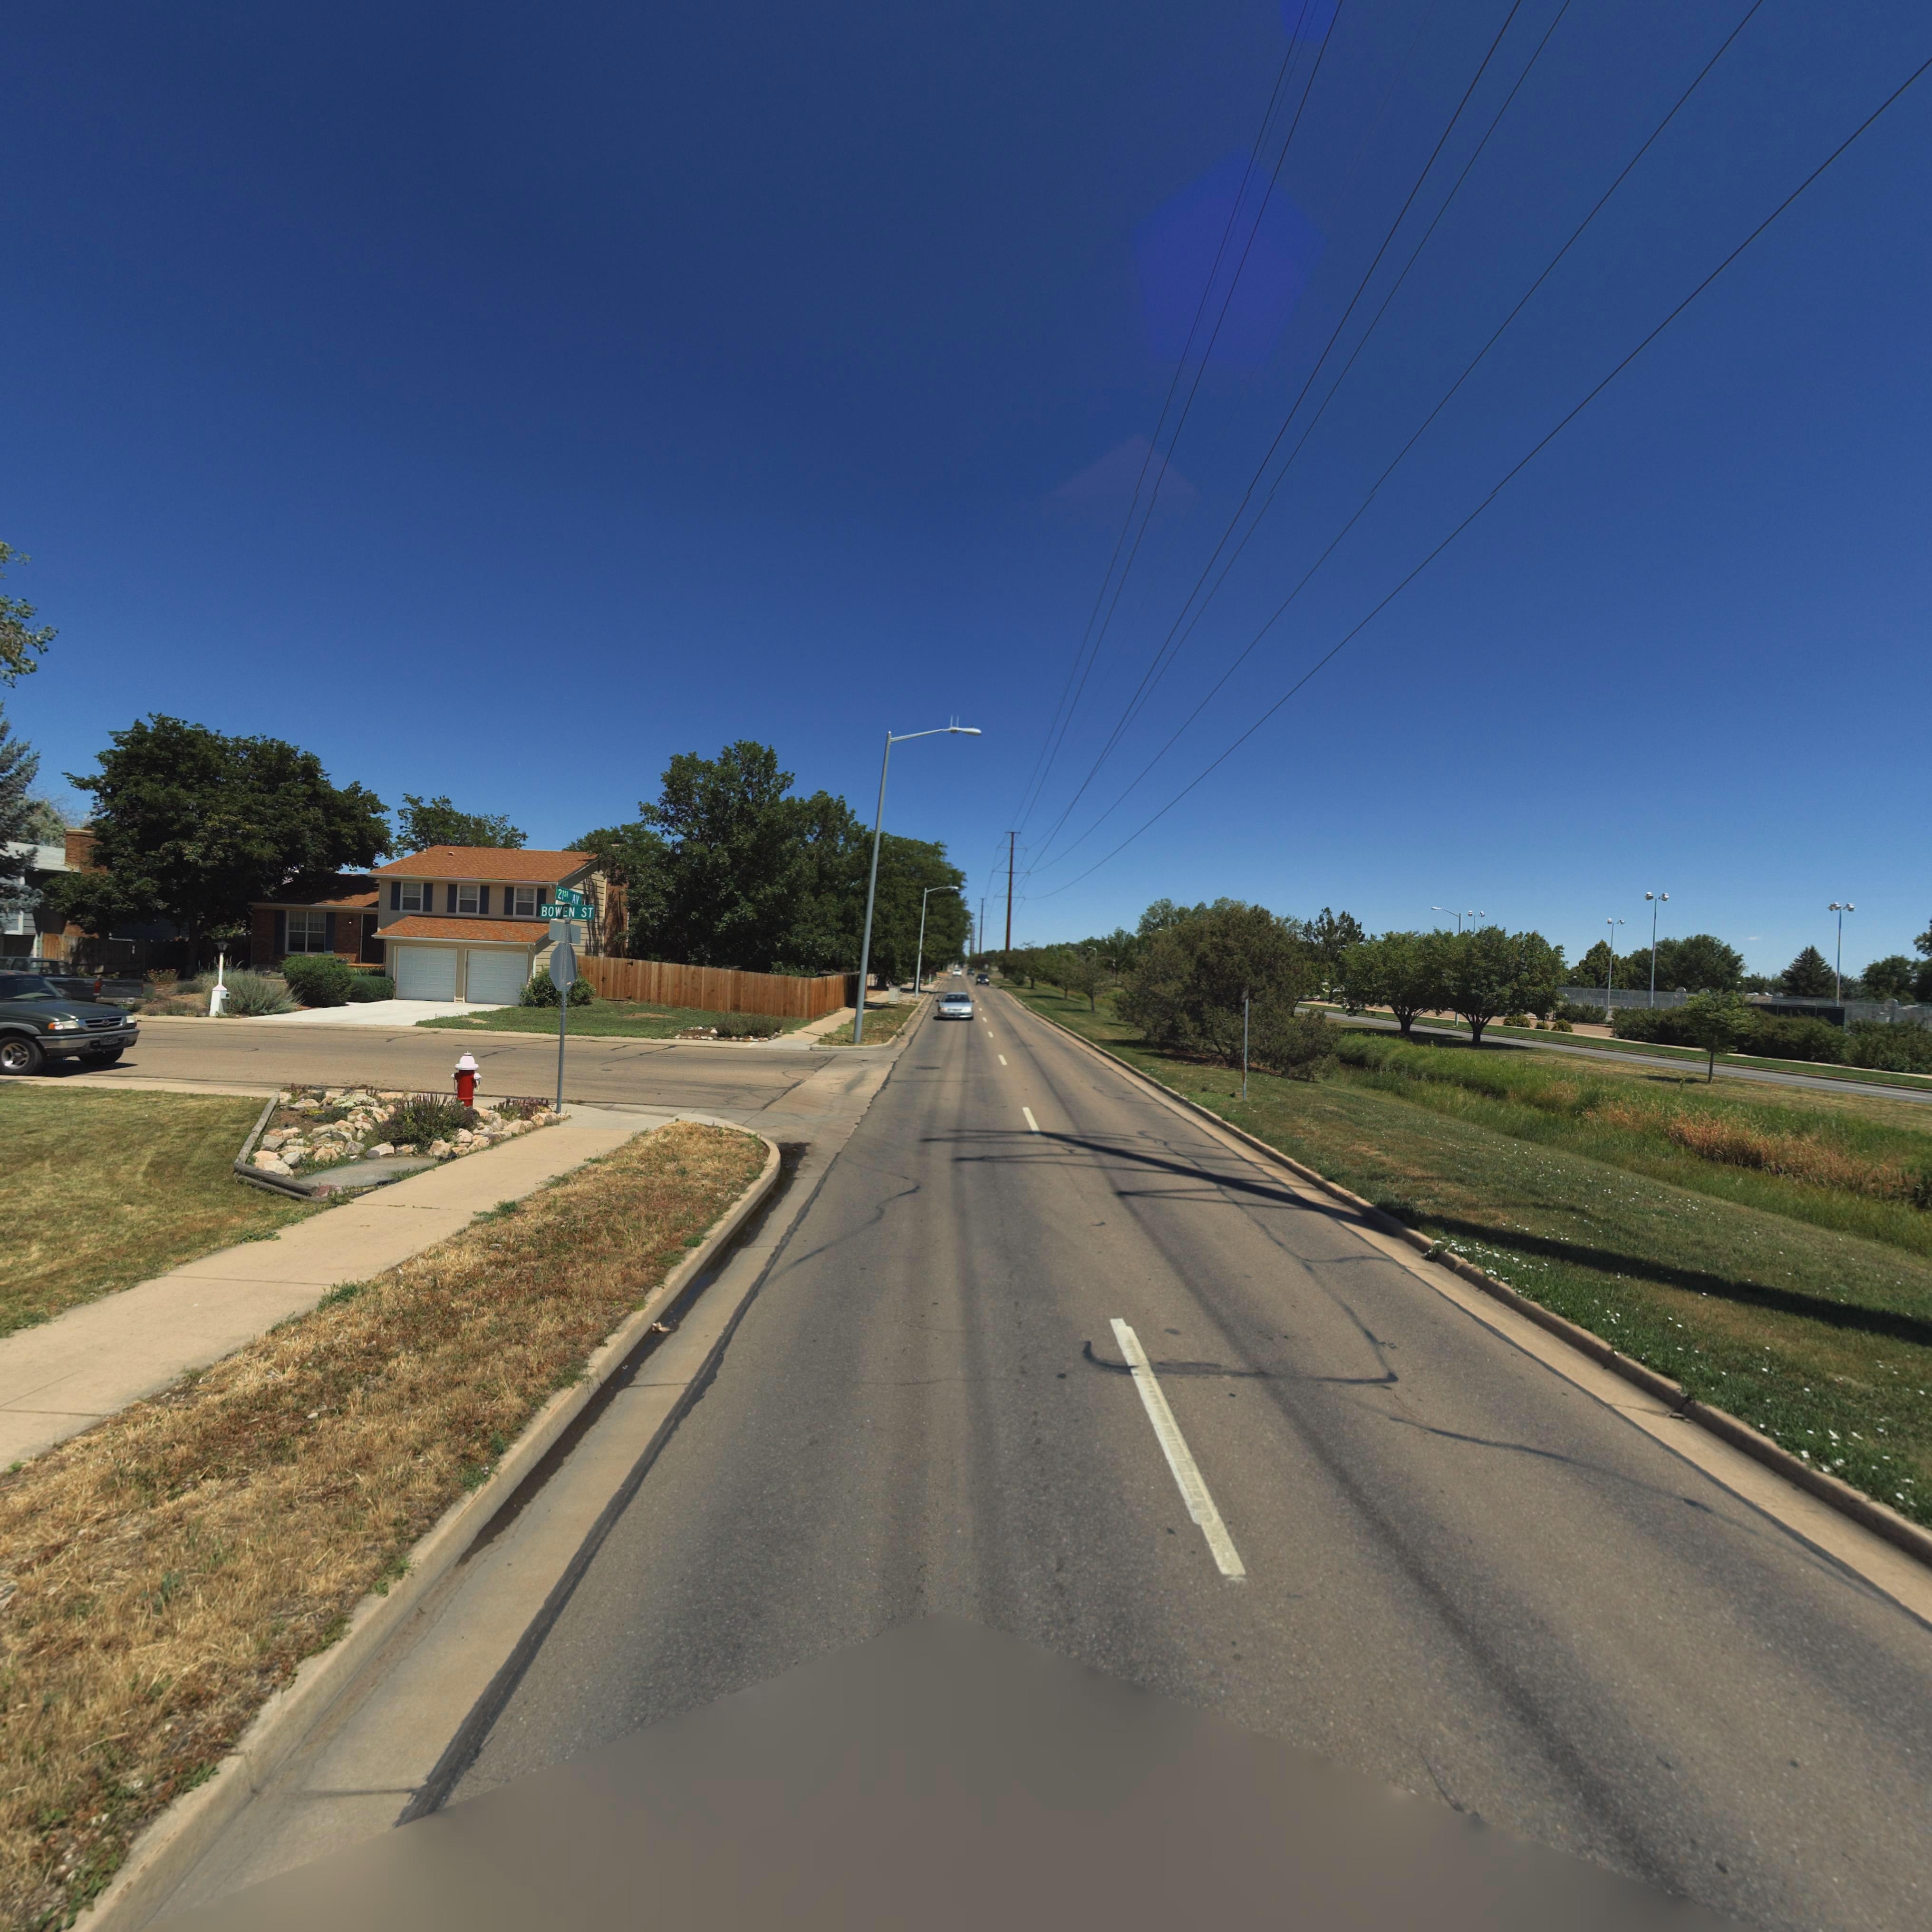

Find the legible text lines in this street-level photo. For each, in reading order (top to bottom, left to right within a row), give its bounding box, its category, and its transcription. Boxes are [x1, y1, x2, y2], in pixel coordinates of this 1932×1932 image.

[556, 887, 580, 905] StreetName: 21ST AV
[540, 905, 593, 919] StreetName: BOWEN ST